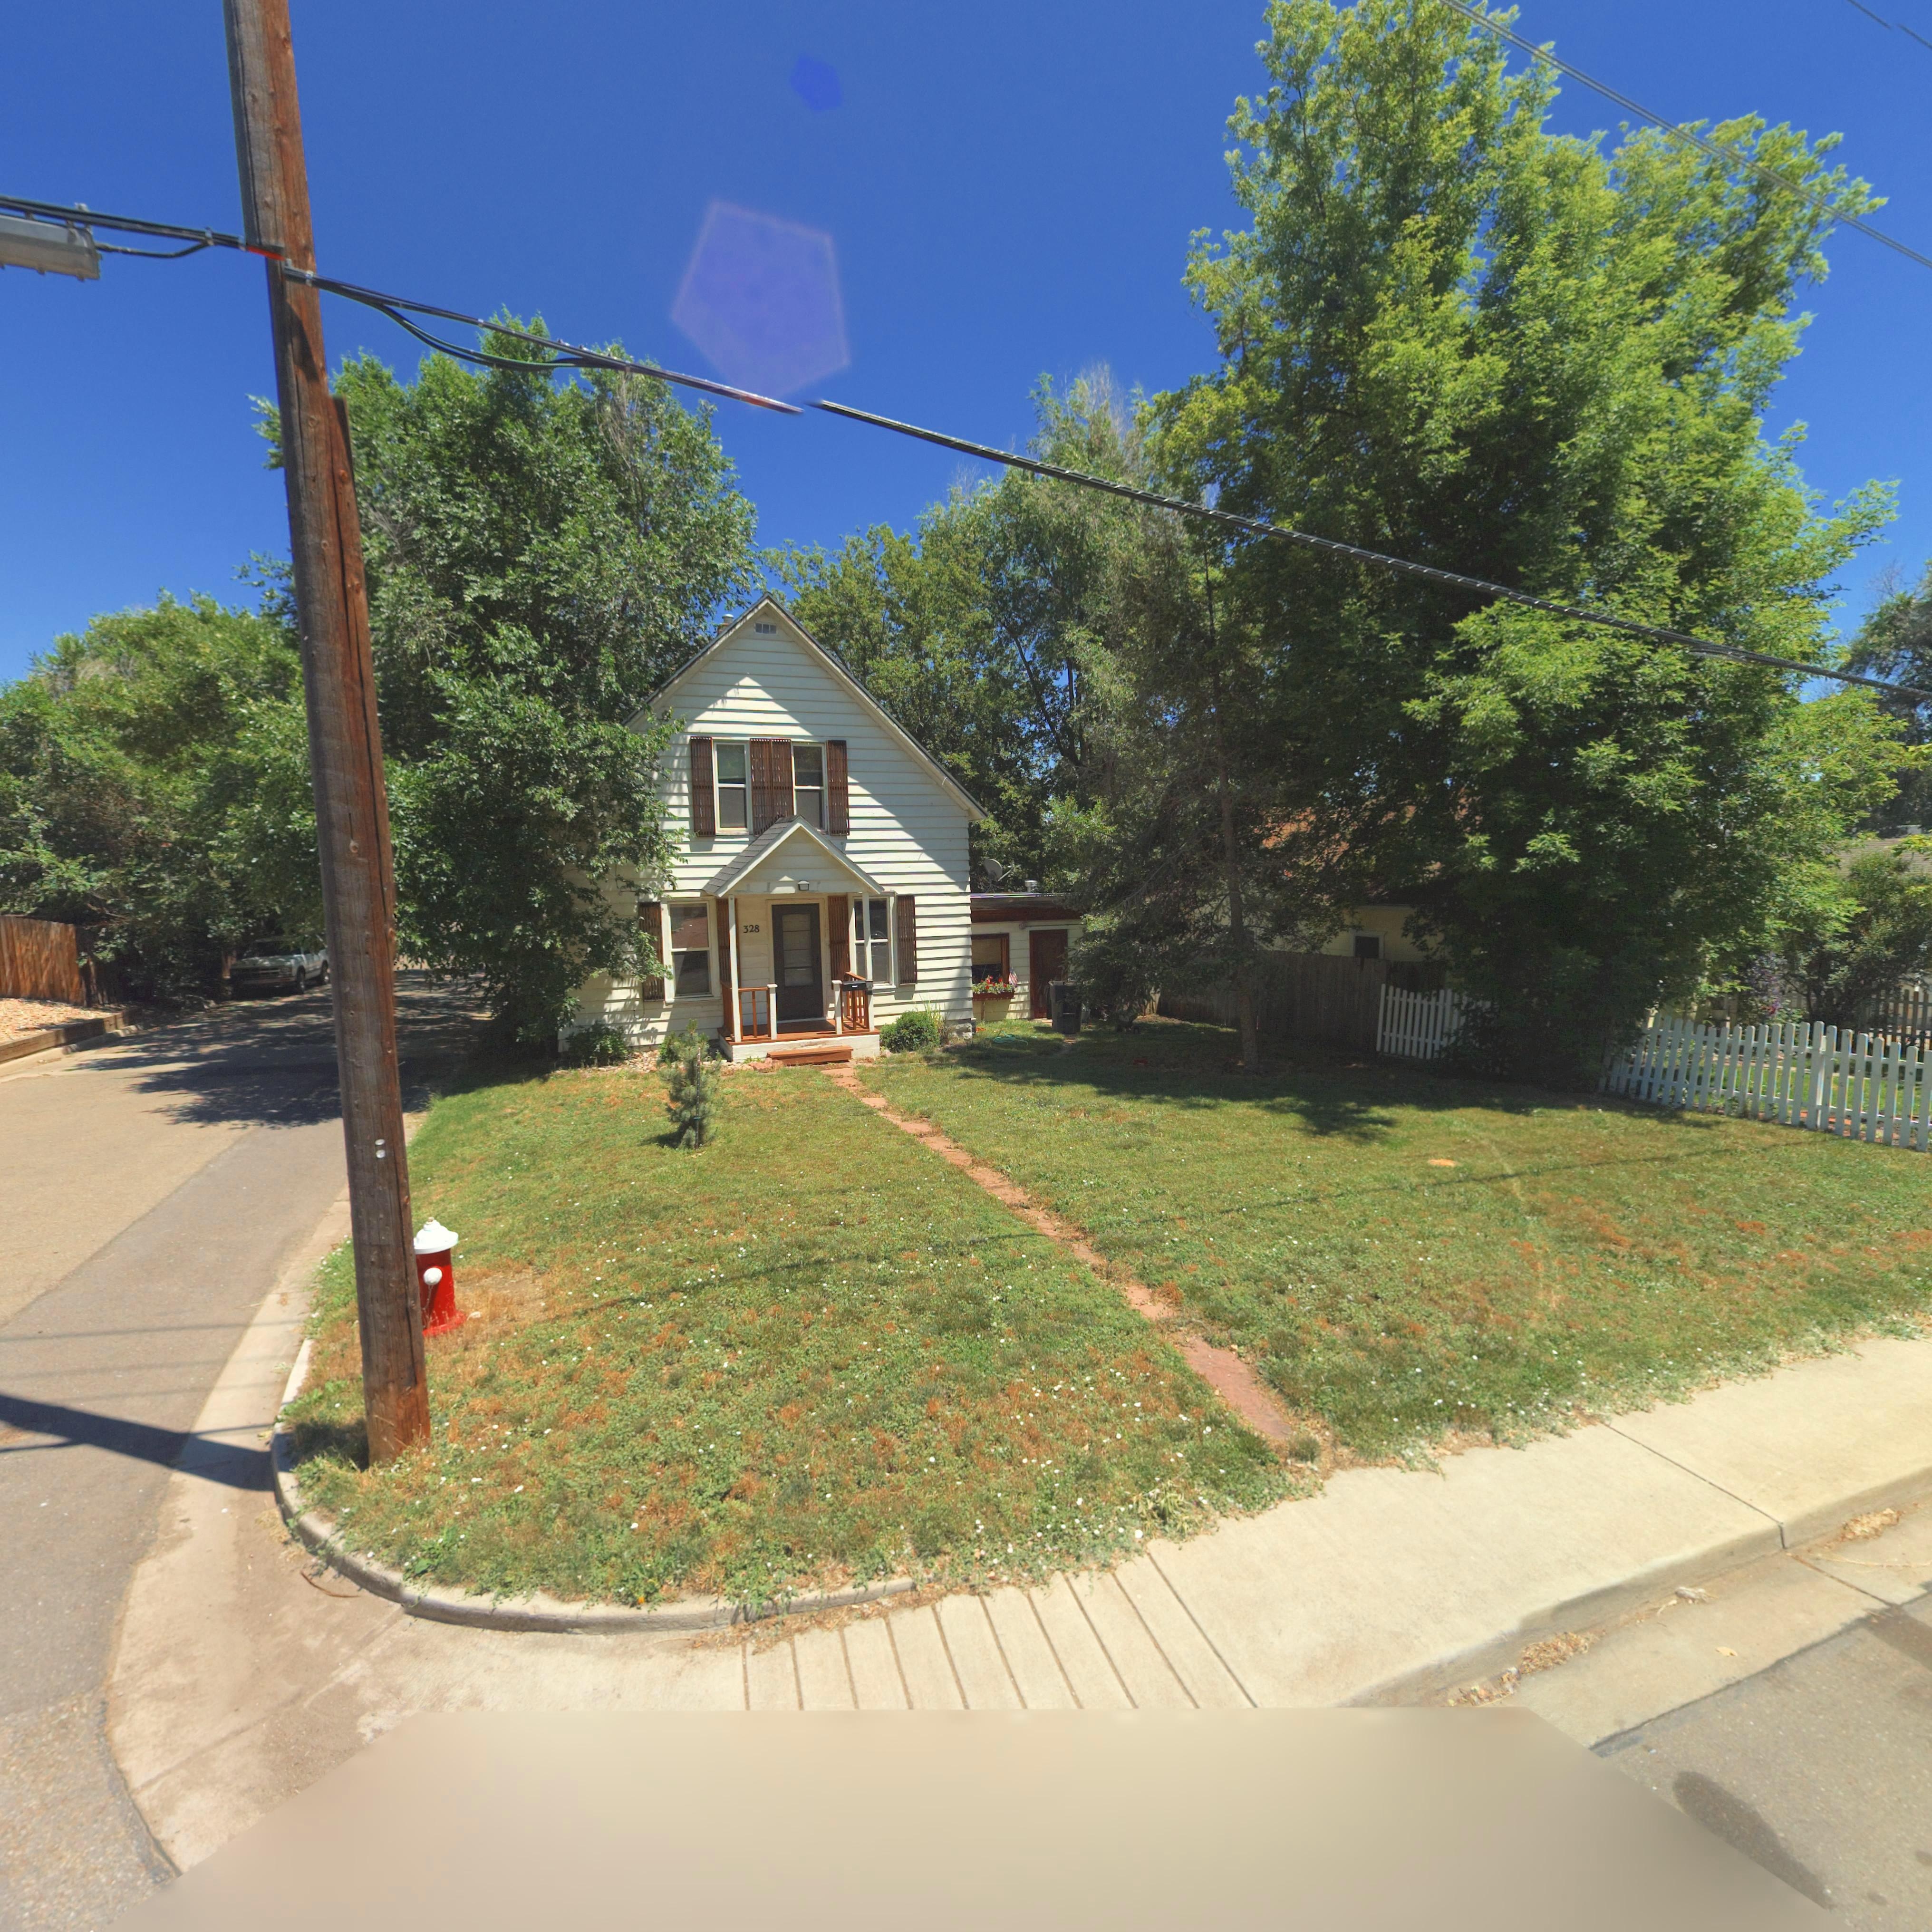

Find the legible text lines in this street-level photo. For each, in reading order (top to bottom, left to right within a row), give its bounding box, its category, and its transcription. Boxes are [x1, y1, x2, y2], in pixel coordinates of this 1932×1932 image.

[743, 924, 760, 934] StreetNumber: 328